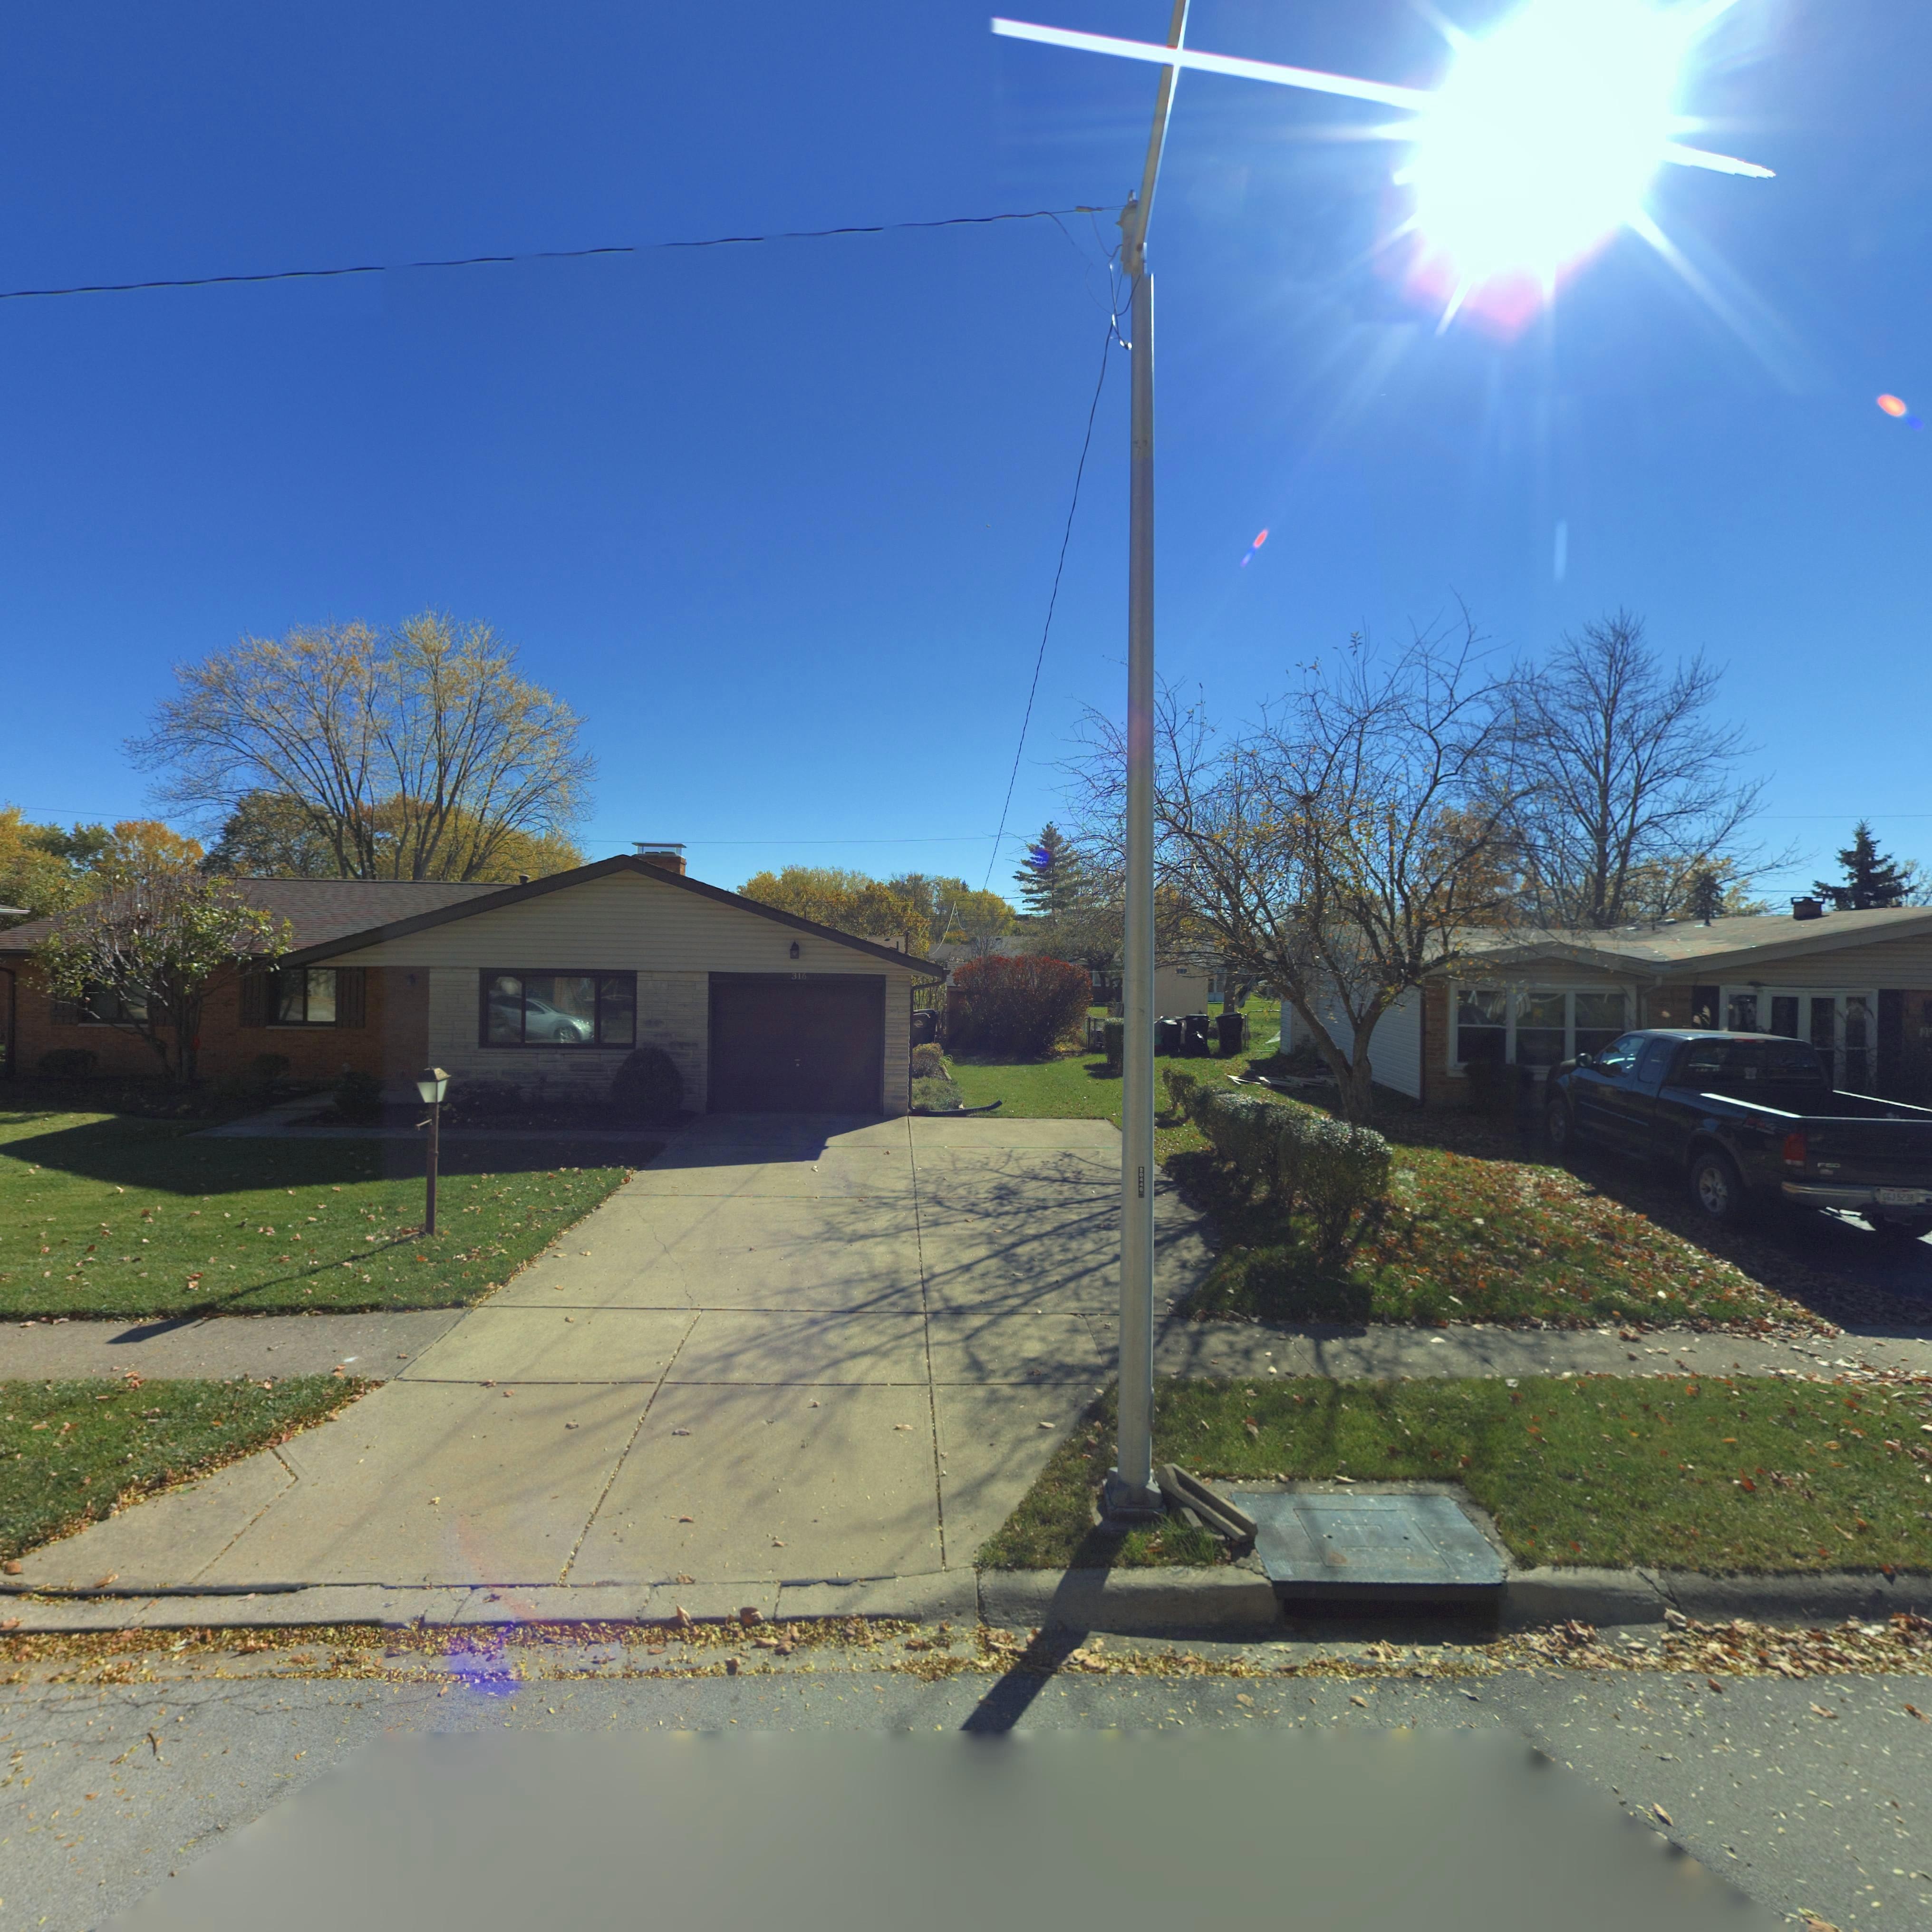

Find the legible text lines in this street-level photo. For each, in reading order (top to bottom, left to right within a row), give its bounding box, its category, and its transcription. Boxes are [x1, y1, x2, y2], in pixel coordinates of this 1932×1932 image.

[790, 971, 808, 981] StreetNumber: 316
[1816, 1162, 1841, 1169] None: F1*0
[1882, 1191, 1915, 1203] None: GGJ*523*